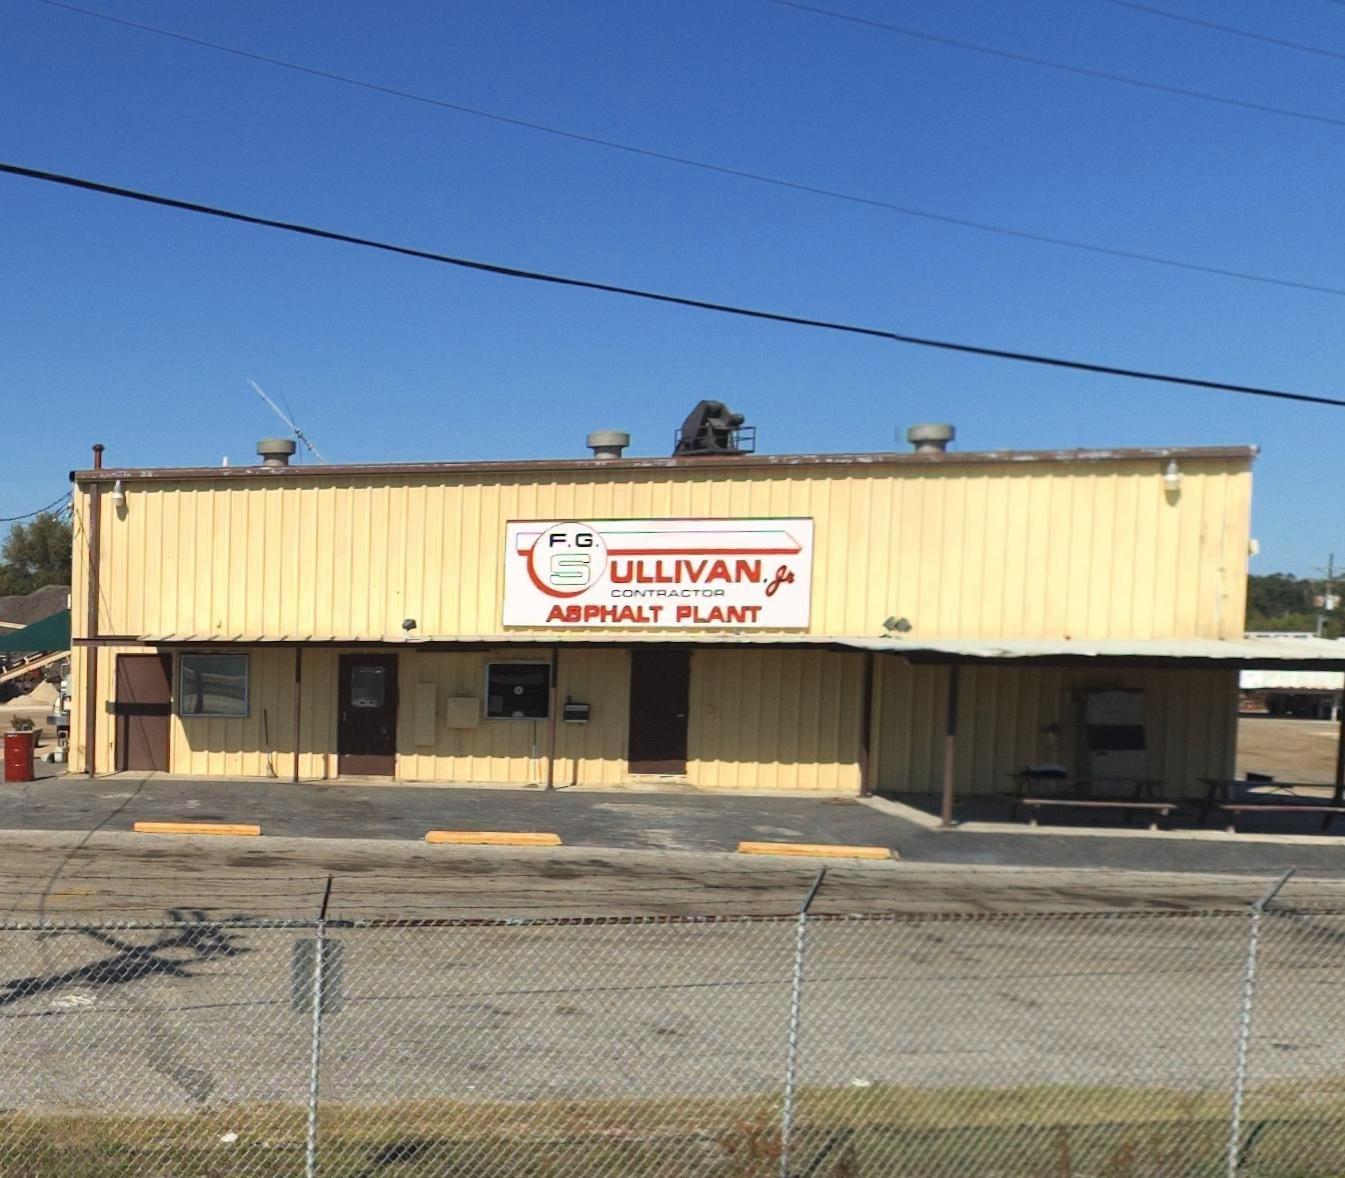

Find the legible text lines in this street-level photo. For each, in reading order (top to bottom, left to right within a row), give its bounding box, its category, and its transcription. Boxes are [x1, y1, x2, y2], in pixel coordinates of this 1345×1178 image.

[547, 532, 600, 549] BusinessName: F.G.
[548, 552, 796, 599] BusinessName: SULLIVAN Jr
[611, 589, 726, 598] BusinessName: CONTRACTOR
[544, 604, 764, 624] BusinessName: ASPHALT PLANT